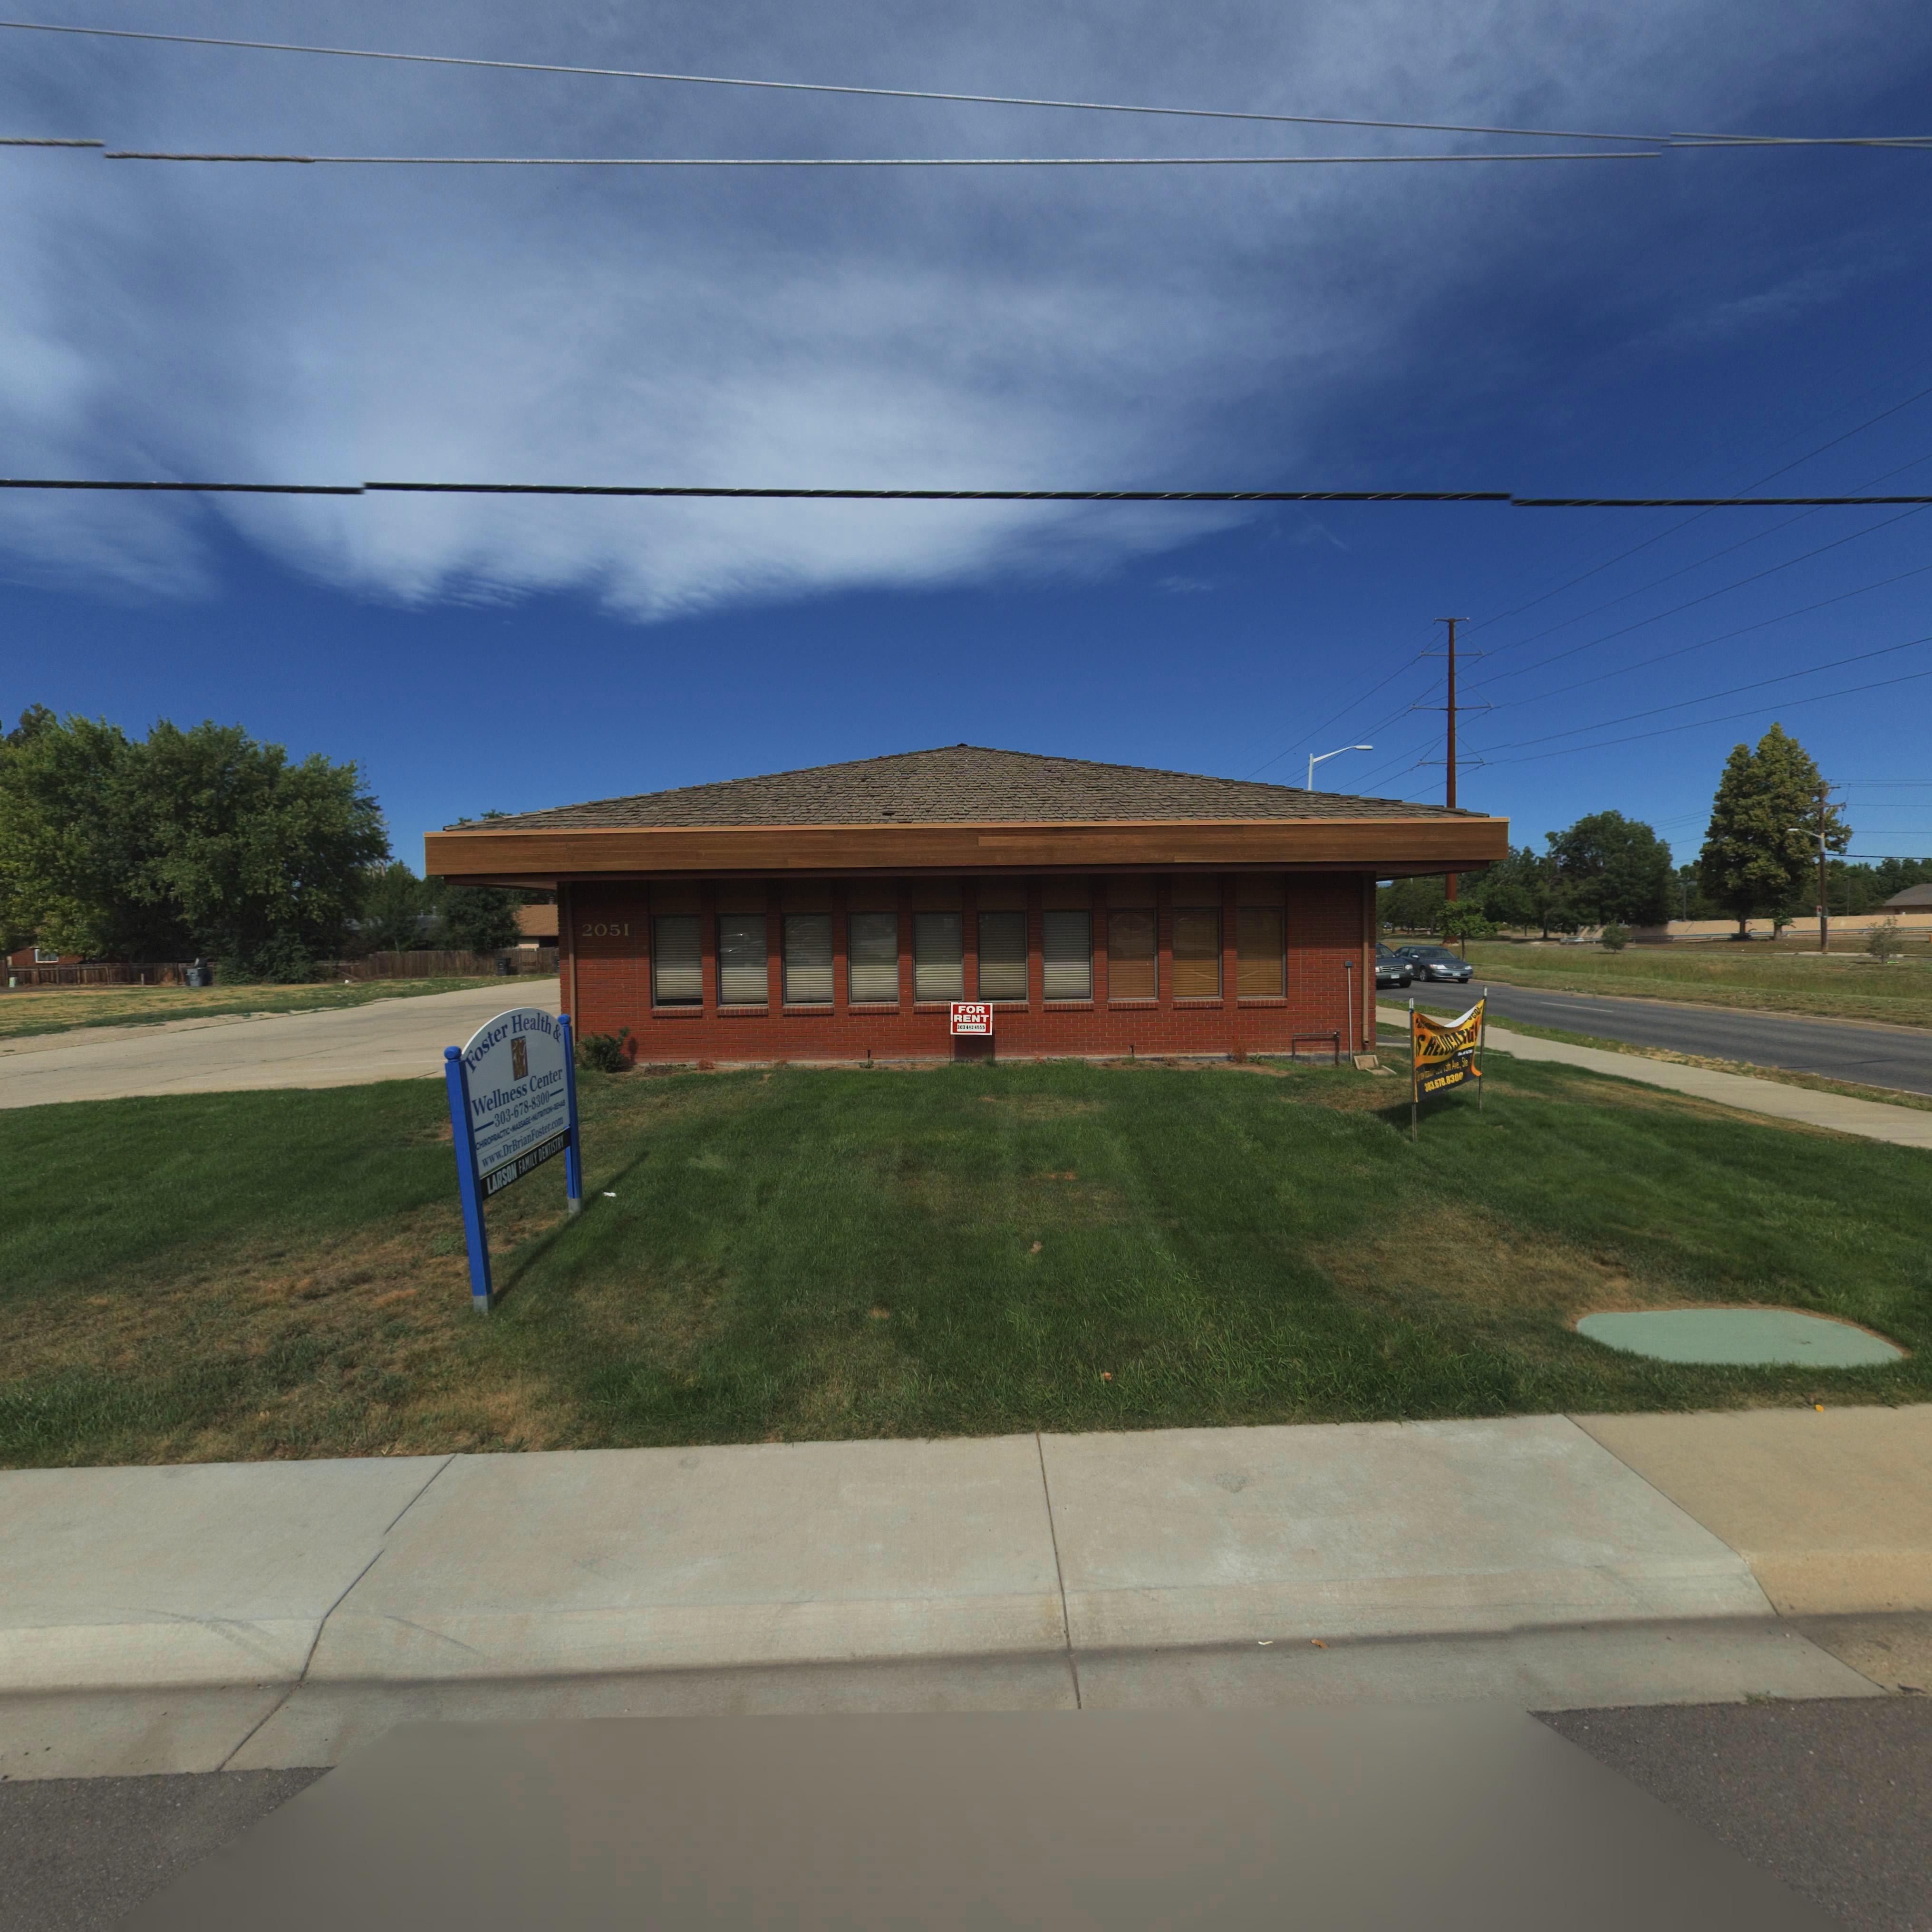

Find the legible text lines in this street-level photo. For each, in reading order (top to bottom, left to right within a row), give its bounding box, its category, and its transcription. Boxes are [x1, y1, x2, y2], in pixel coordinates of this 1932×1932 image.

[580, 923, 630, 937] StreetNumber: 2051
[470, 1067, 563, 1118] BusinessName: Wellness Center
[486, 1134, 563, 1195] BusinessName: LRSON FAMILY DENTISTRY